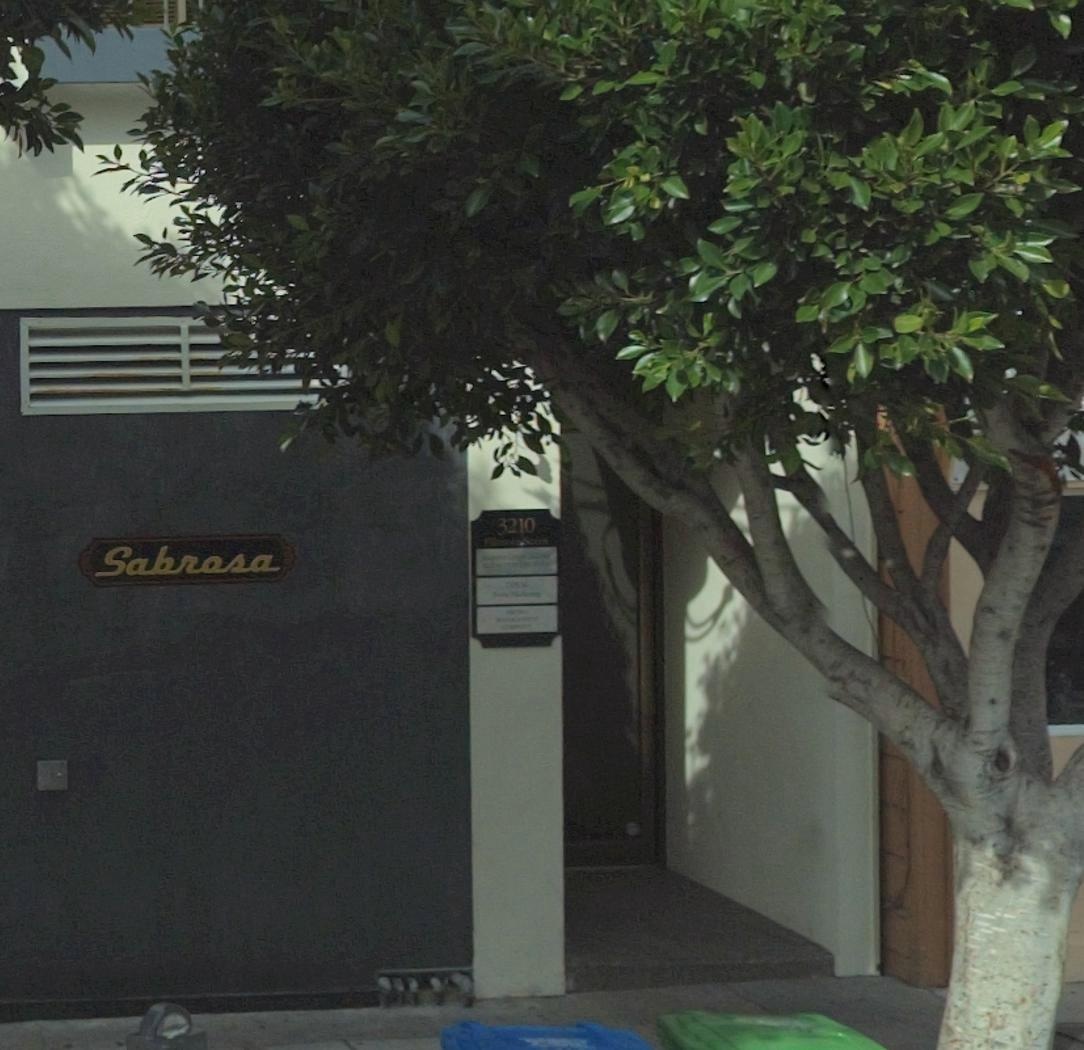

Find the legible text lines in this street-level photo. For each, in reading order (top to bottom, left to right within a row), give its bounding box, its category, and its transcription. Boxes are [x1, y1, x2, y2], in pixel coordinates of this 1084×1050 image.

[494, 514, 538, 539] StreetNumber: 3210
[89, 542, 285, 582] BusinessName: Sabrasa